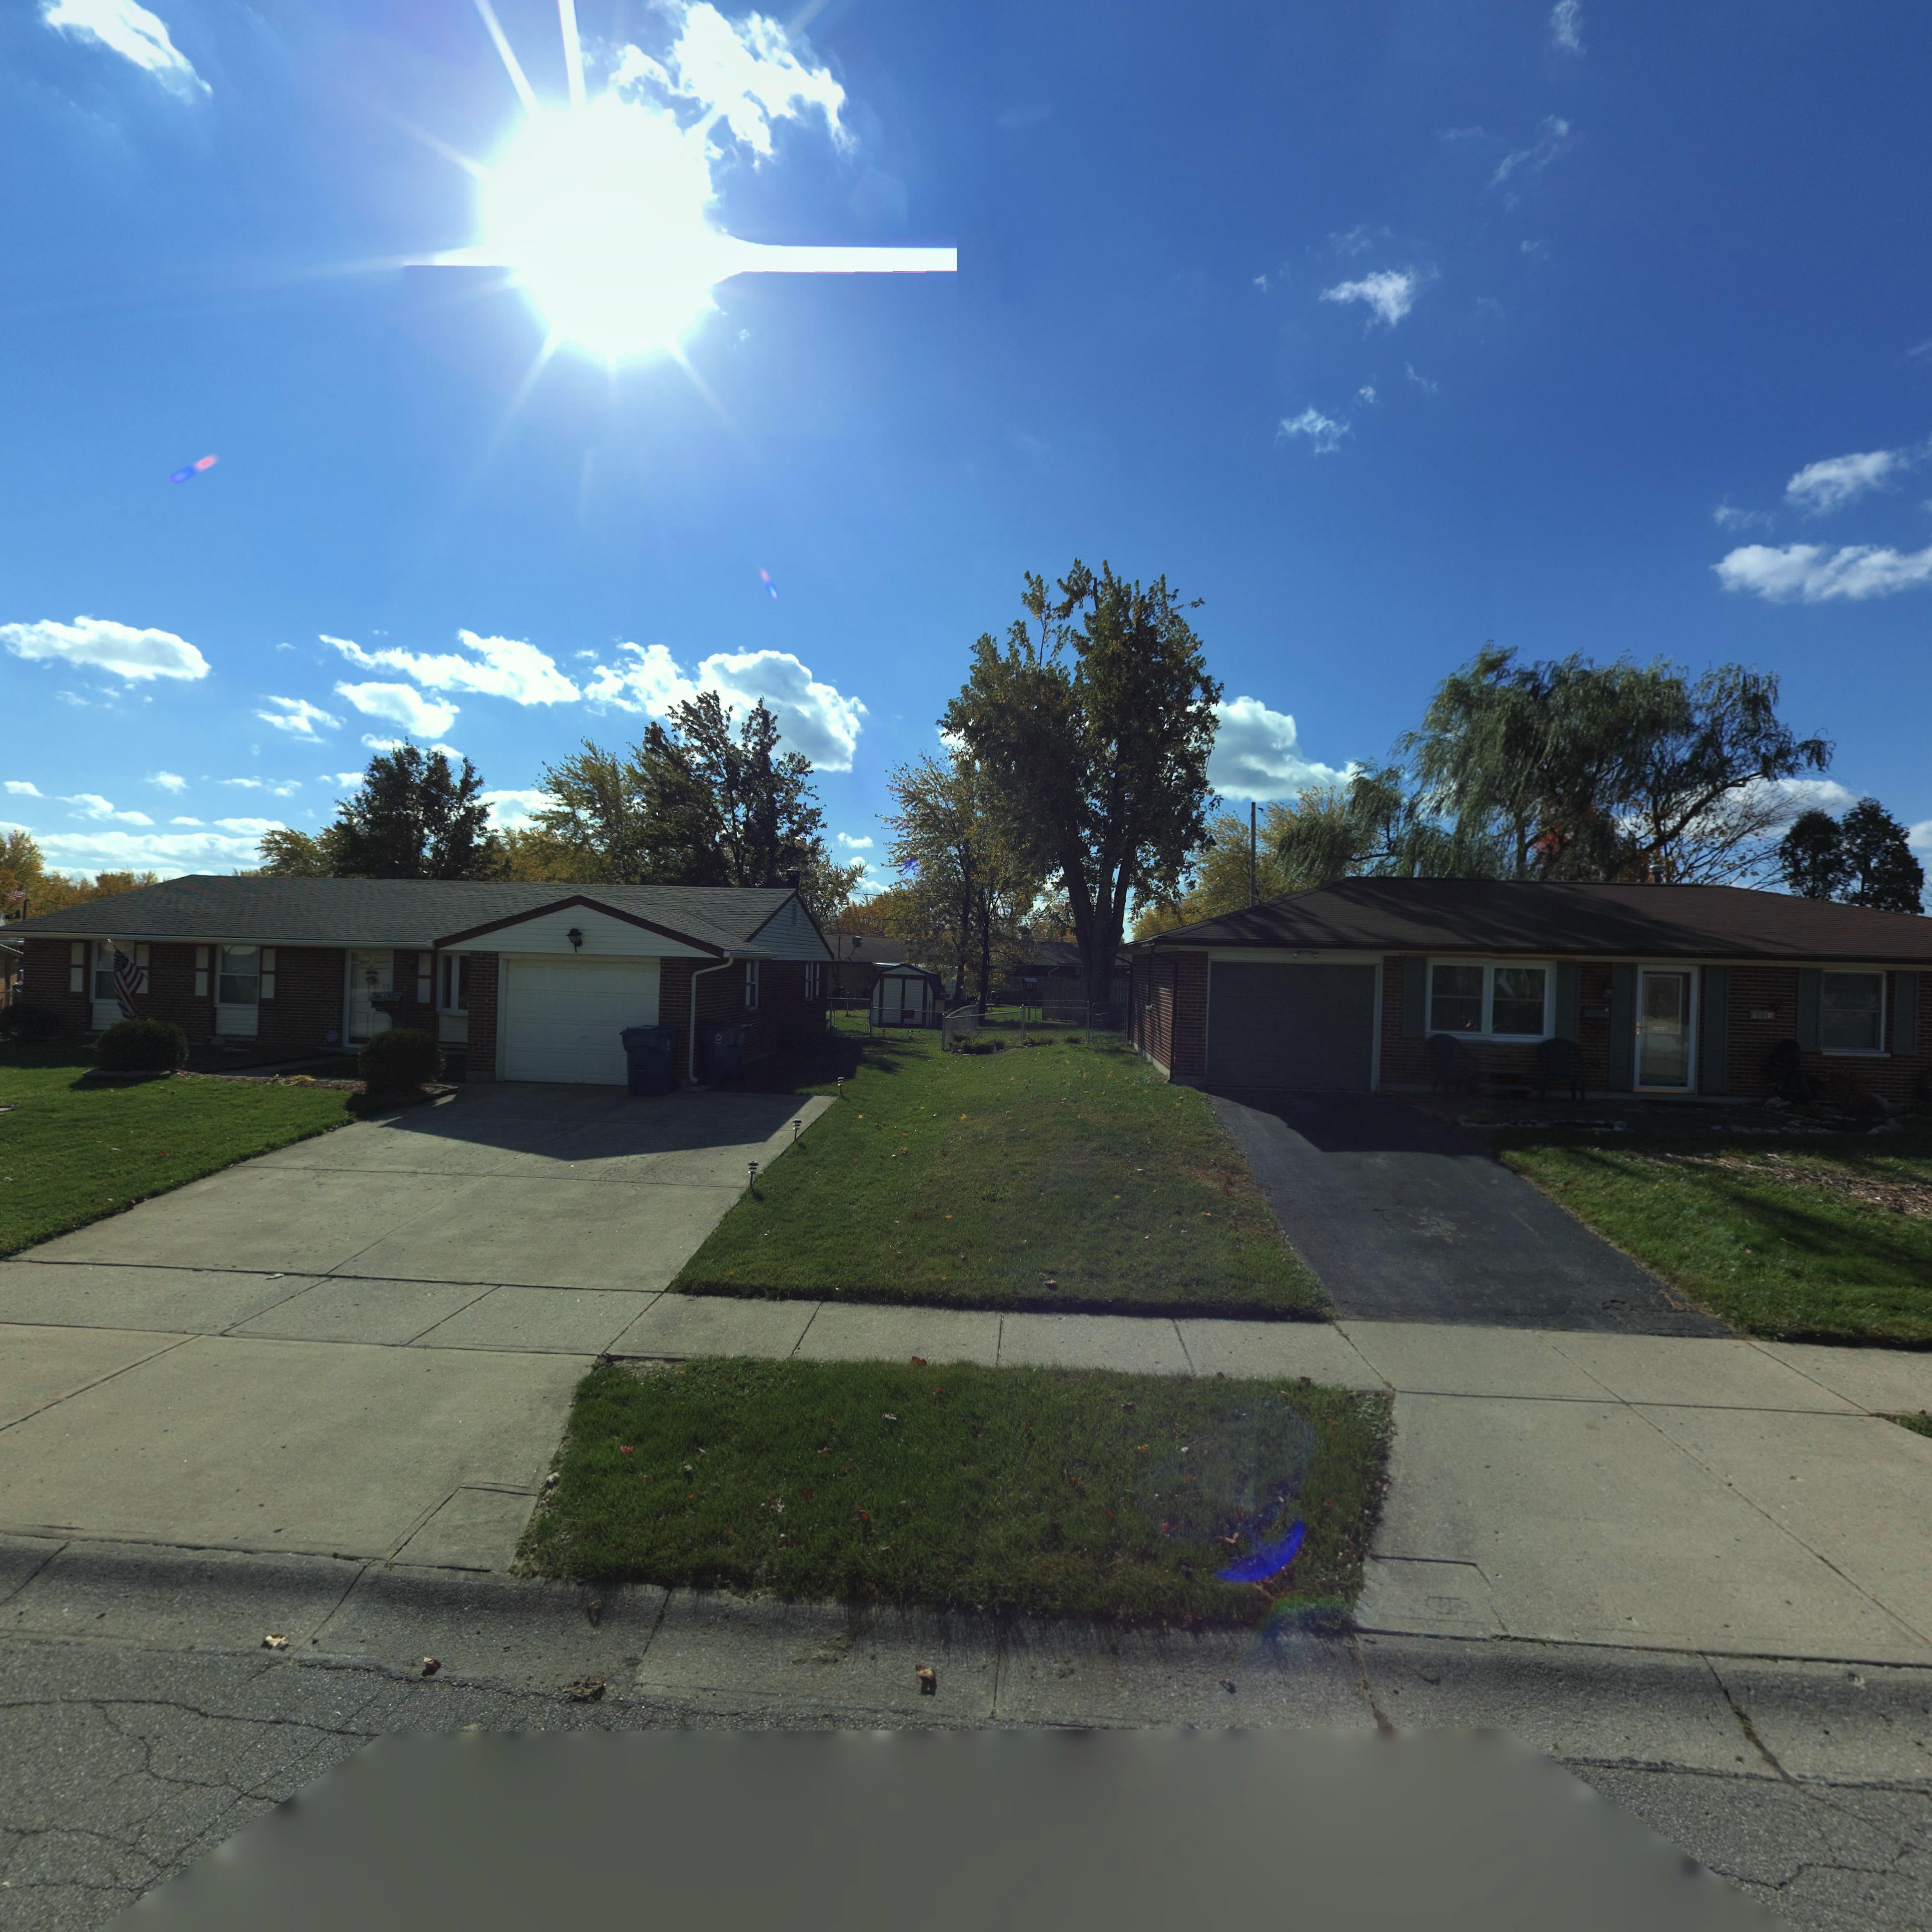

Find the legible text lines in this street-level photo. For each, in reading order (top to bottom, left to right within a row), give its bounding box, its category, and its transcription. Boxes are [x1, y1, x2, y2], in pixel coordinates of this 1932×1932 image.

[1751, 1011, 1774, 1020] StreetNumber: 6670